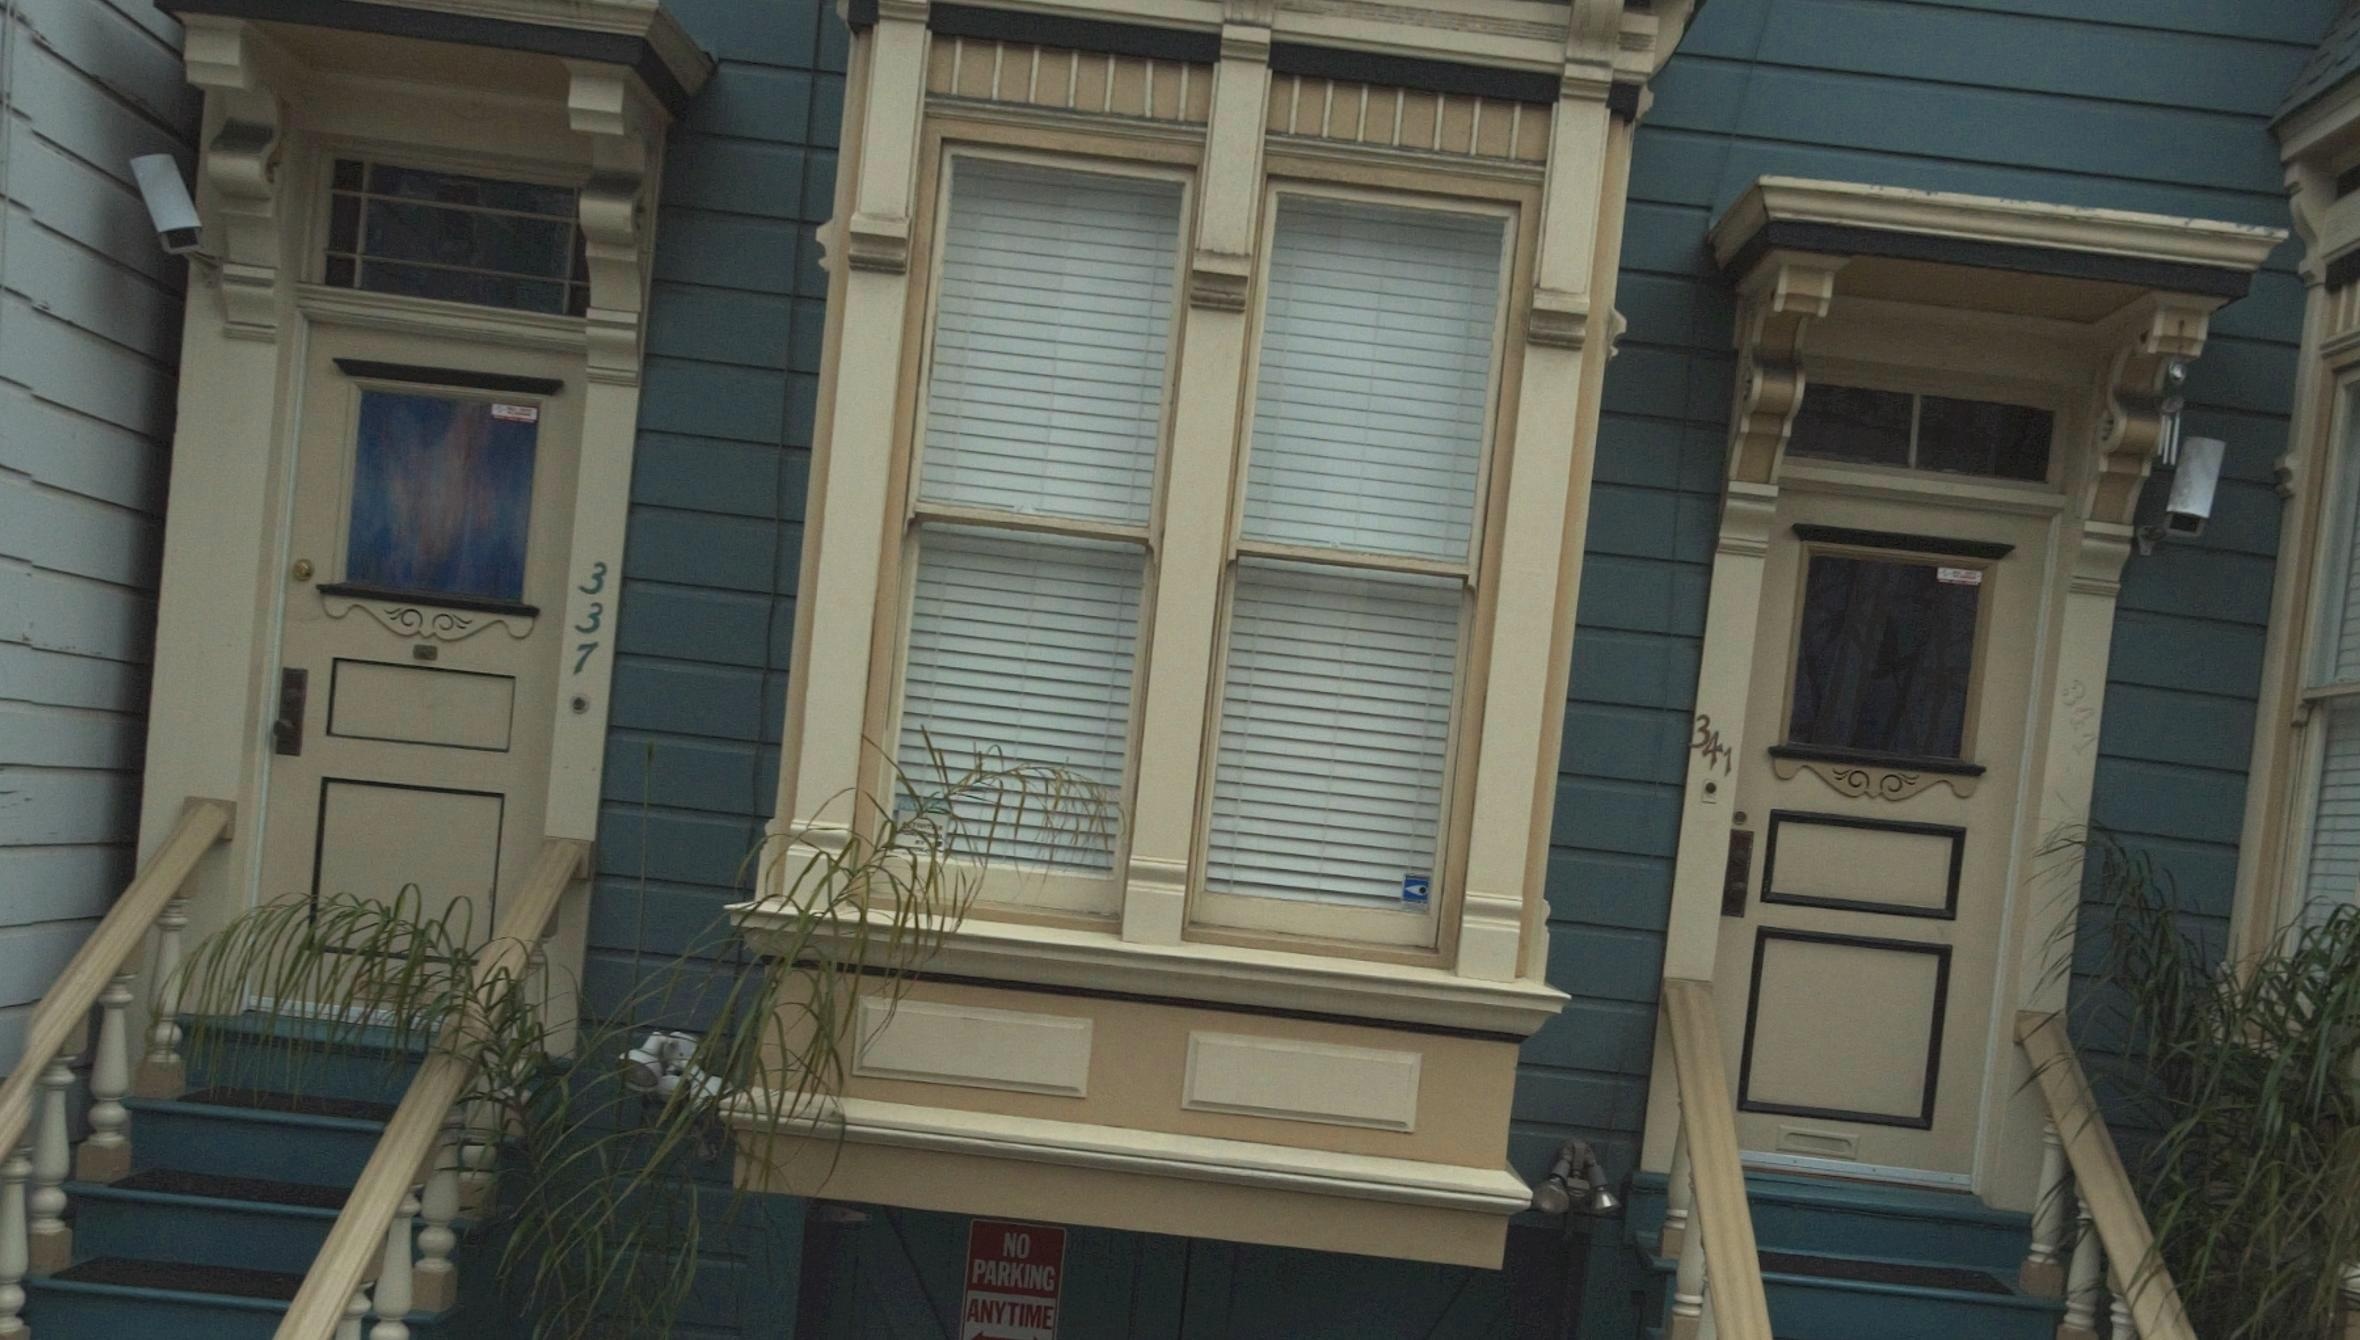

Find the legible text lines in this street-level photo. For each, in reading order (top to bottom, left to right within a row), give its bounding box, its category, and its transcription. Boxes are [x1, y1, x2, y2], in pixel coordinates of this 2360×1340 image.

[567, 558, 608, 680] StreetNumber: 337
[1685, 704, 1734, 782] StreetNumber: 341
[2054, 671, 2099, 765] StreetNumber: 341
[963, 1295, 1056, 1332] None: ANYTIME
[970, 1255, 1058, 1294] None: PARKING
[1000, 1227, 1033, 1262] None: NO